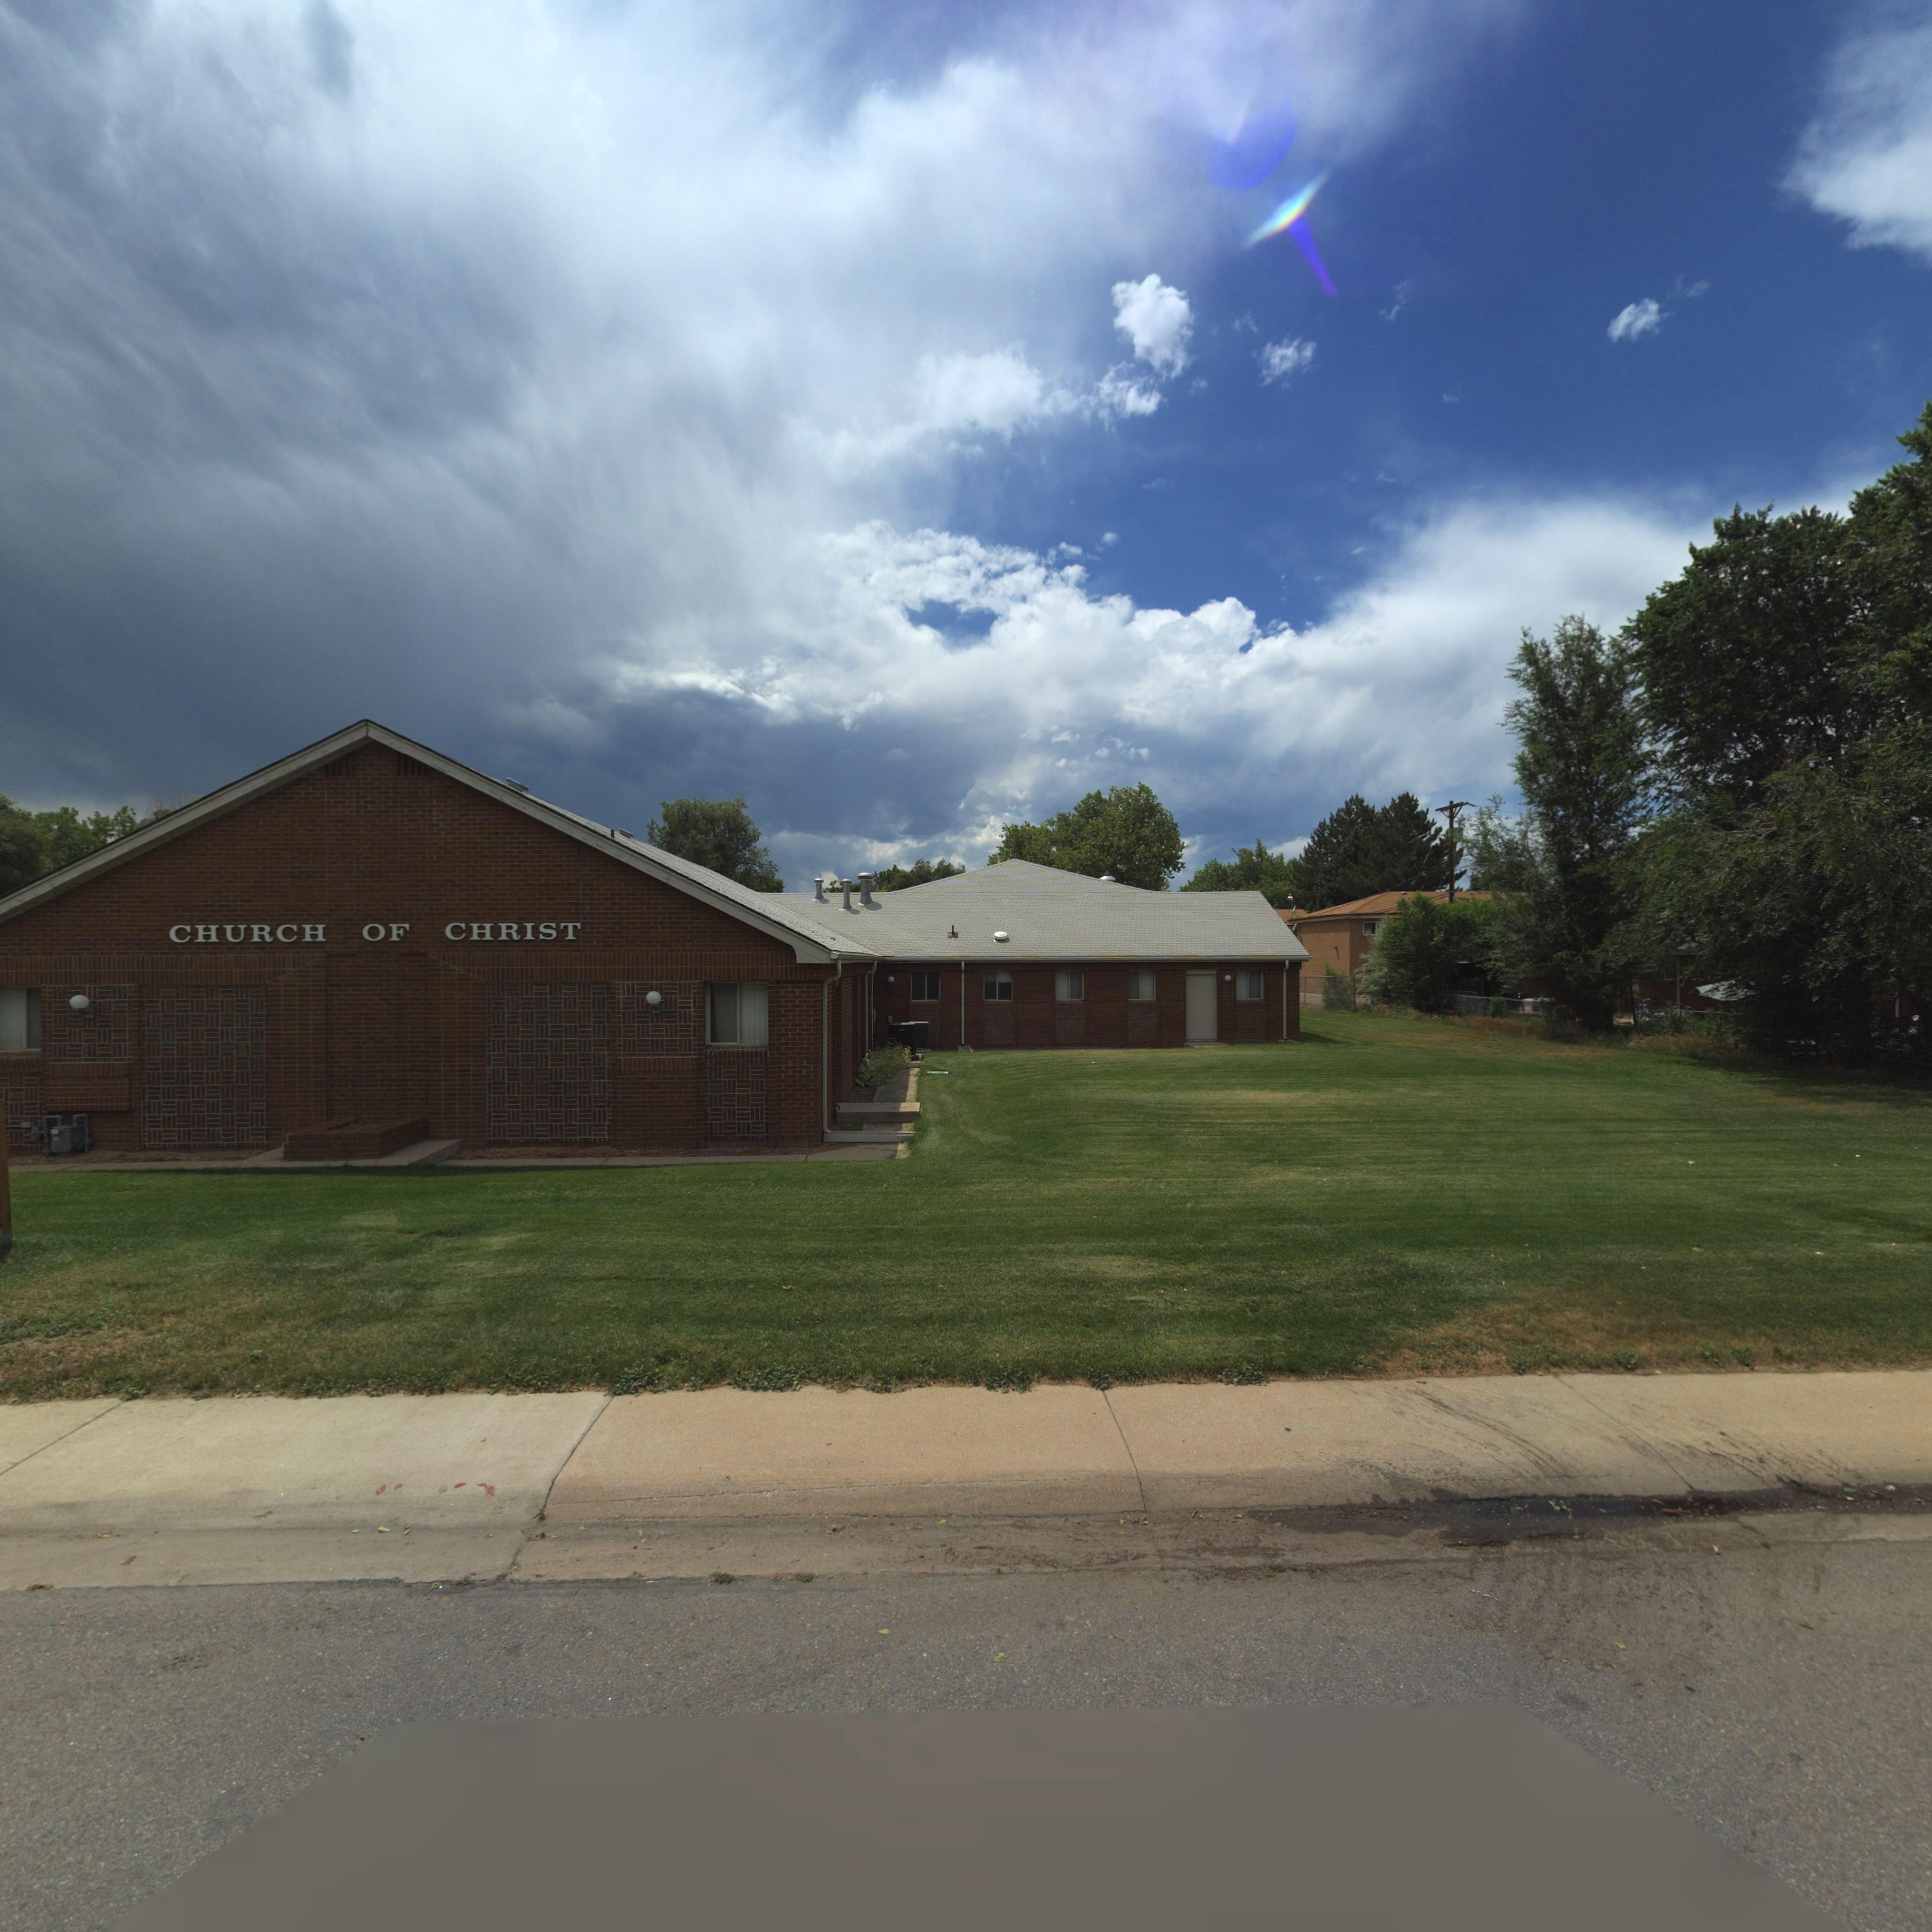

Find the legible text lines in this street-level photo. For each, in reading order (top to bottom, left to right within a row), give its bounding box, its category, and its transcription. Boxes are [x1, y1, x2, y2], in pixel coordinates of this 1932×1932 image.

[167, 920, 581, 944] BusinessName: CHURCH OF CHRIST